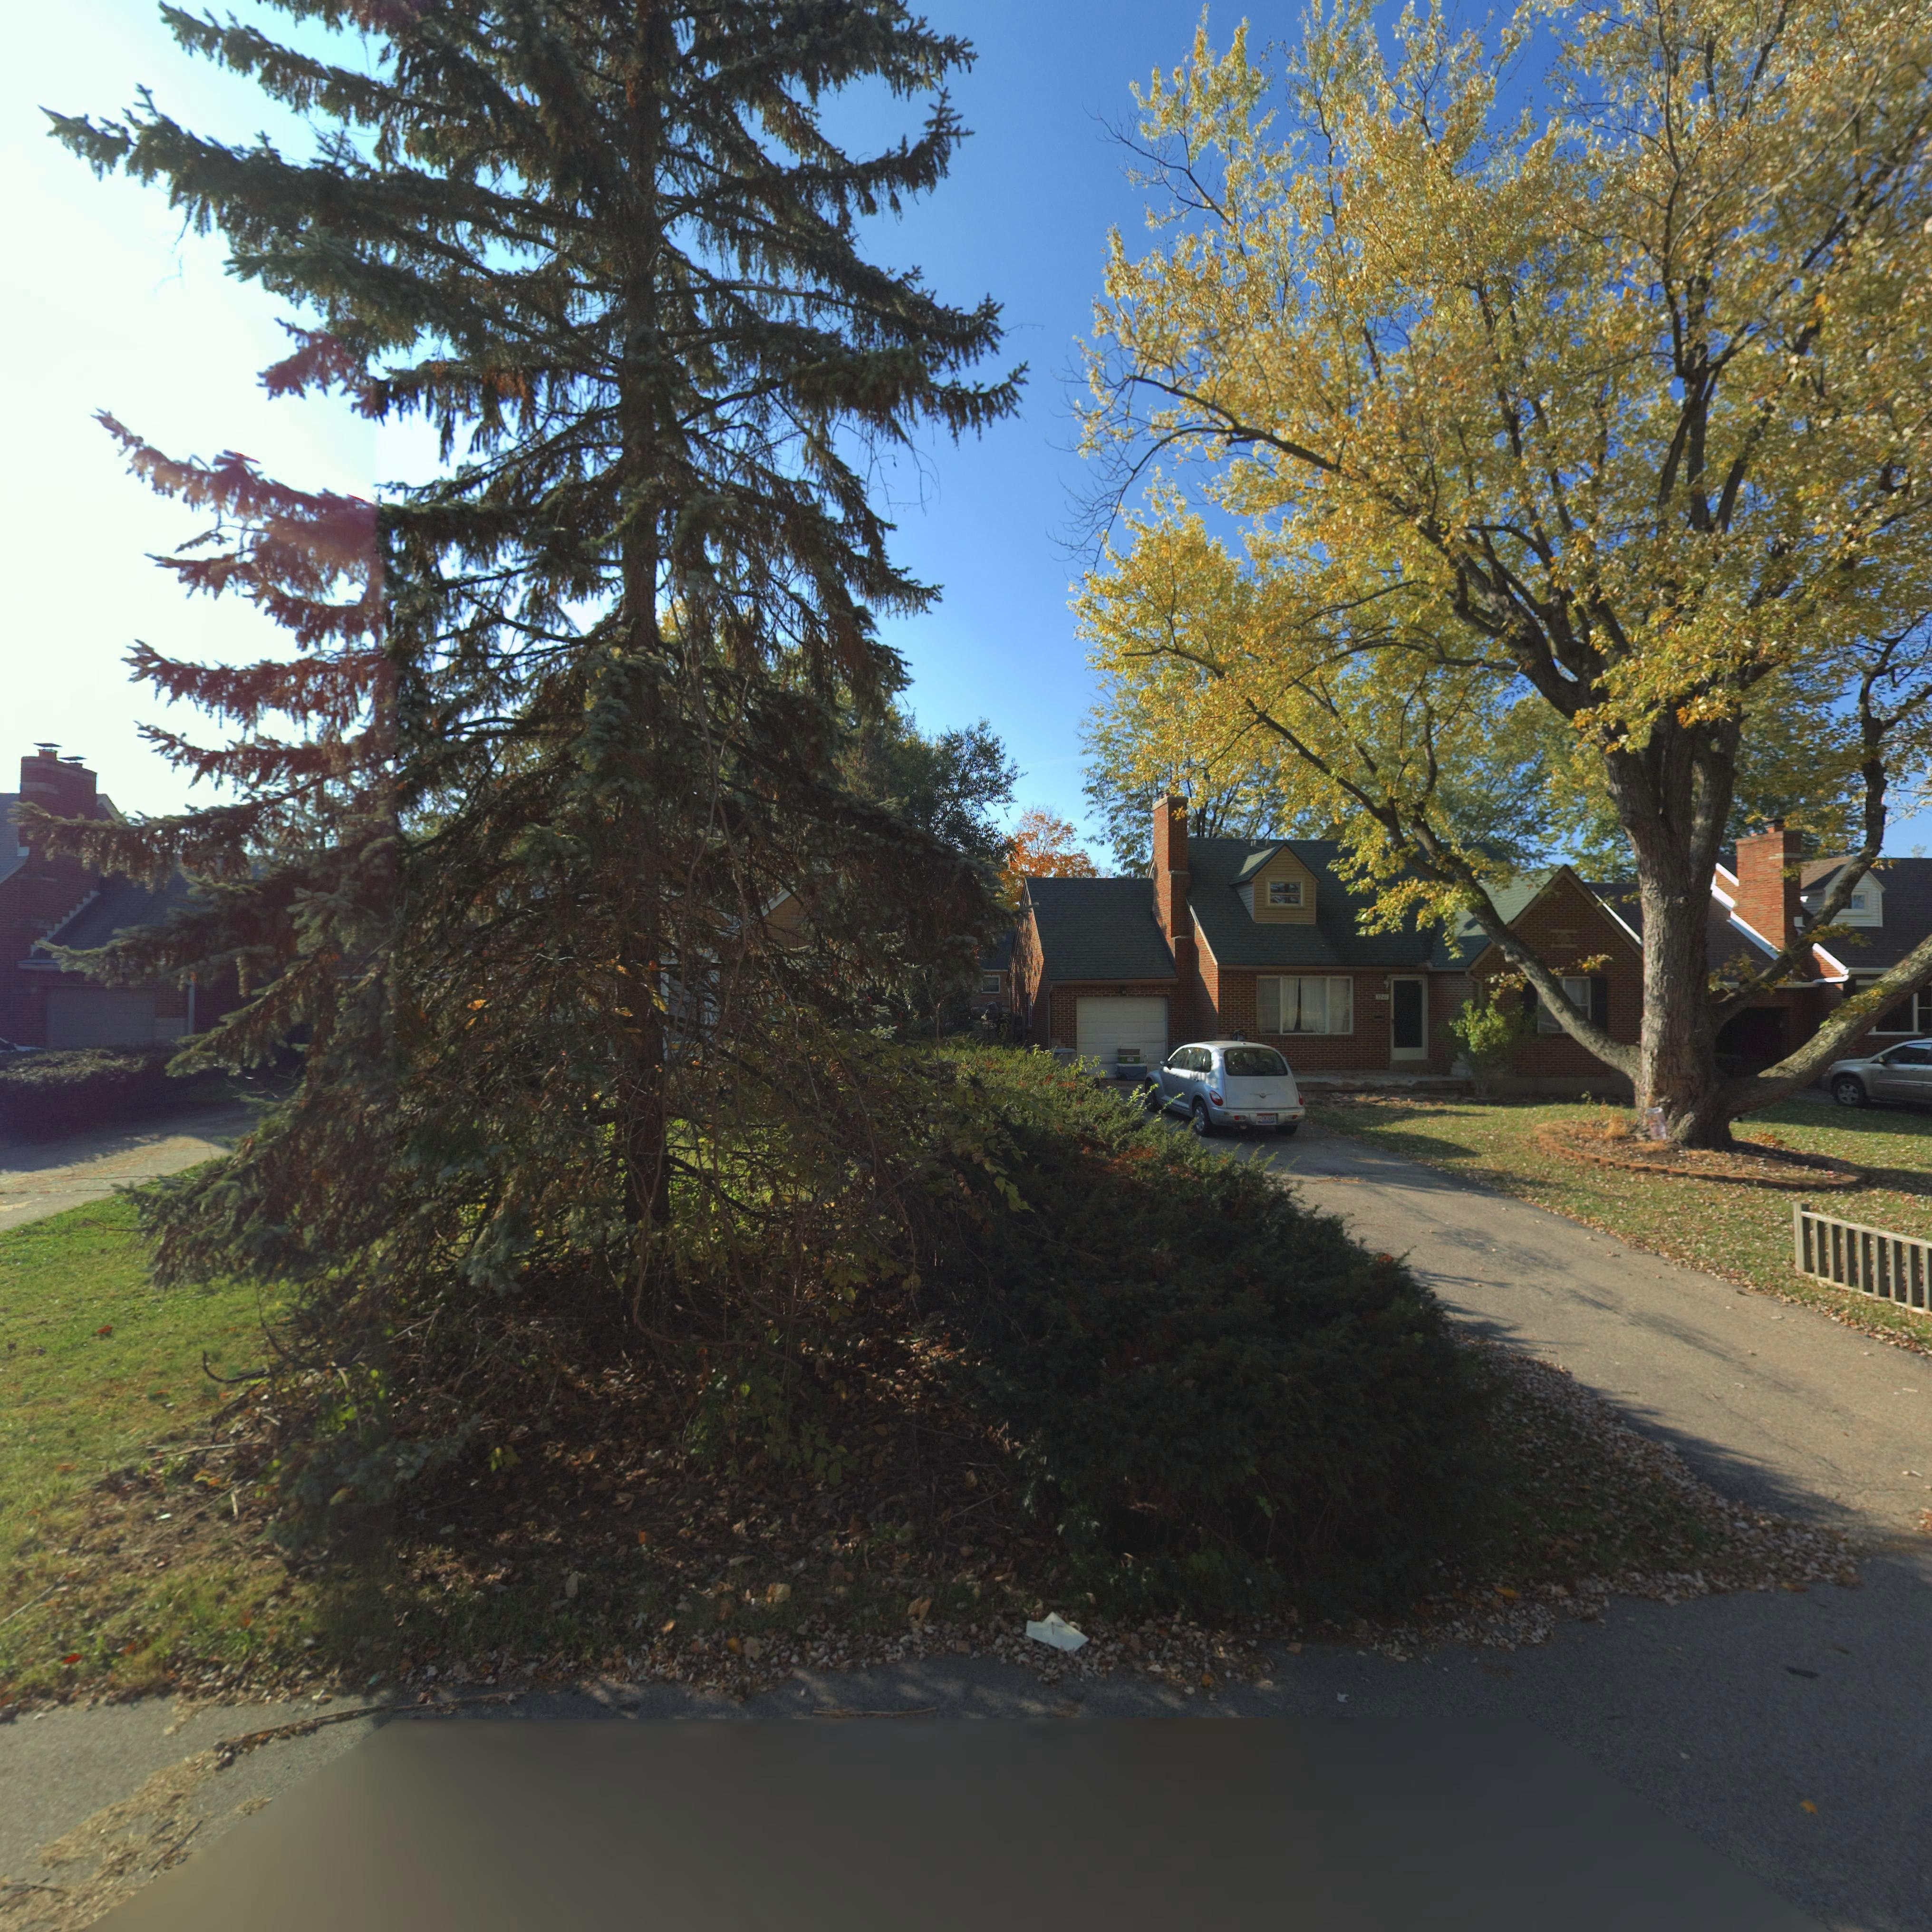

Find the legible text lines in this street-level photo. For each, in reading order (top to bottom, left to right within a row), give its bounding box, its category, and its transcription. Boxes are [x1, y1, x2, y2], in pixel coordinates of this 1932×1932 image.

[1377, 995, 1389, 999] StreetNumber: 3241